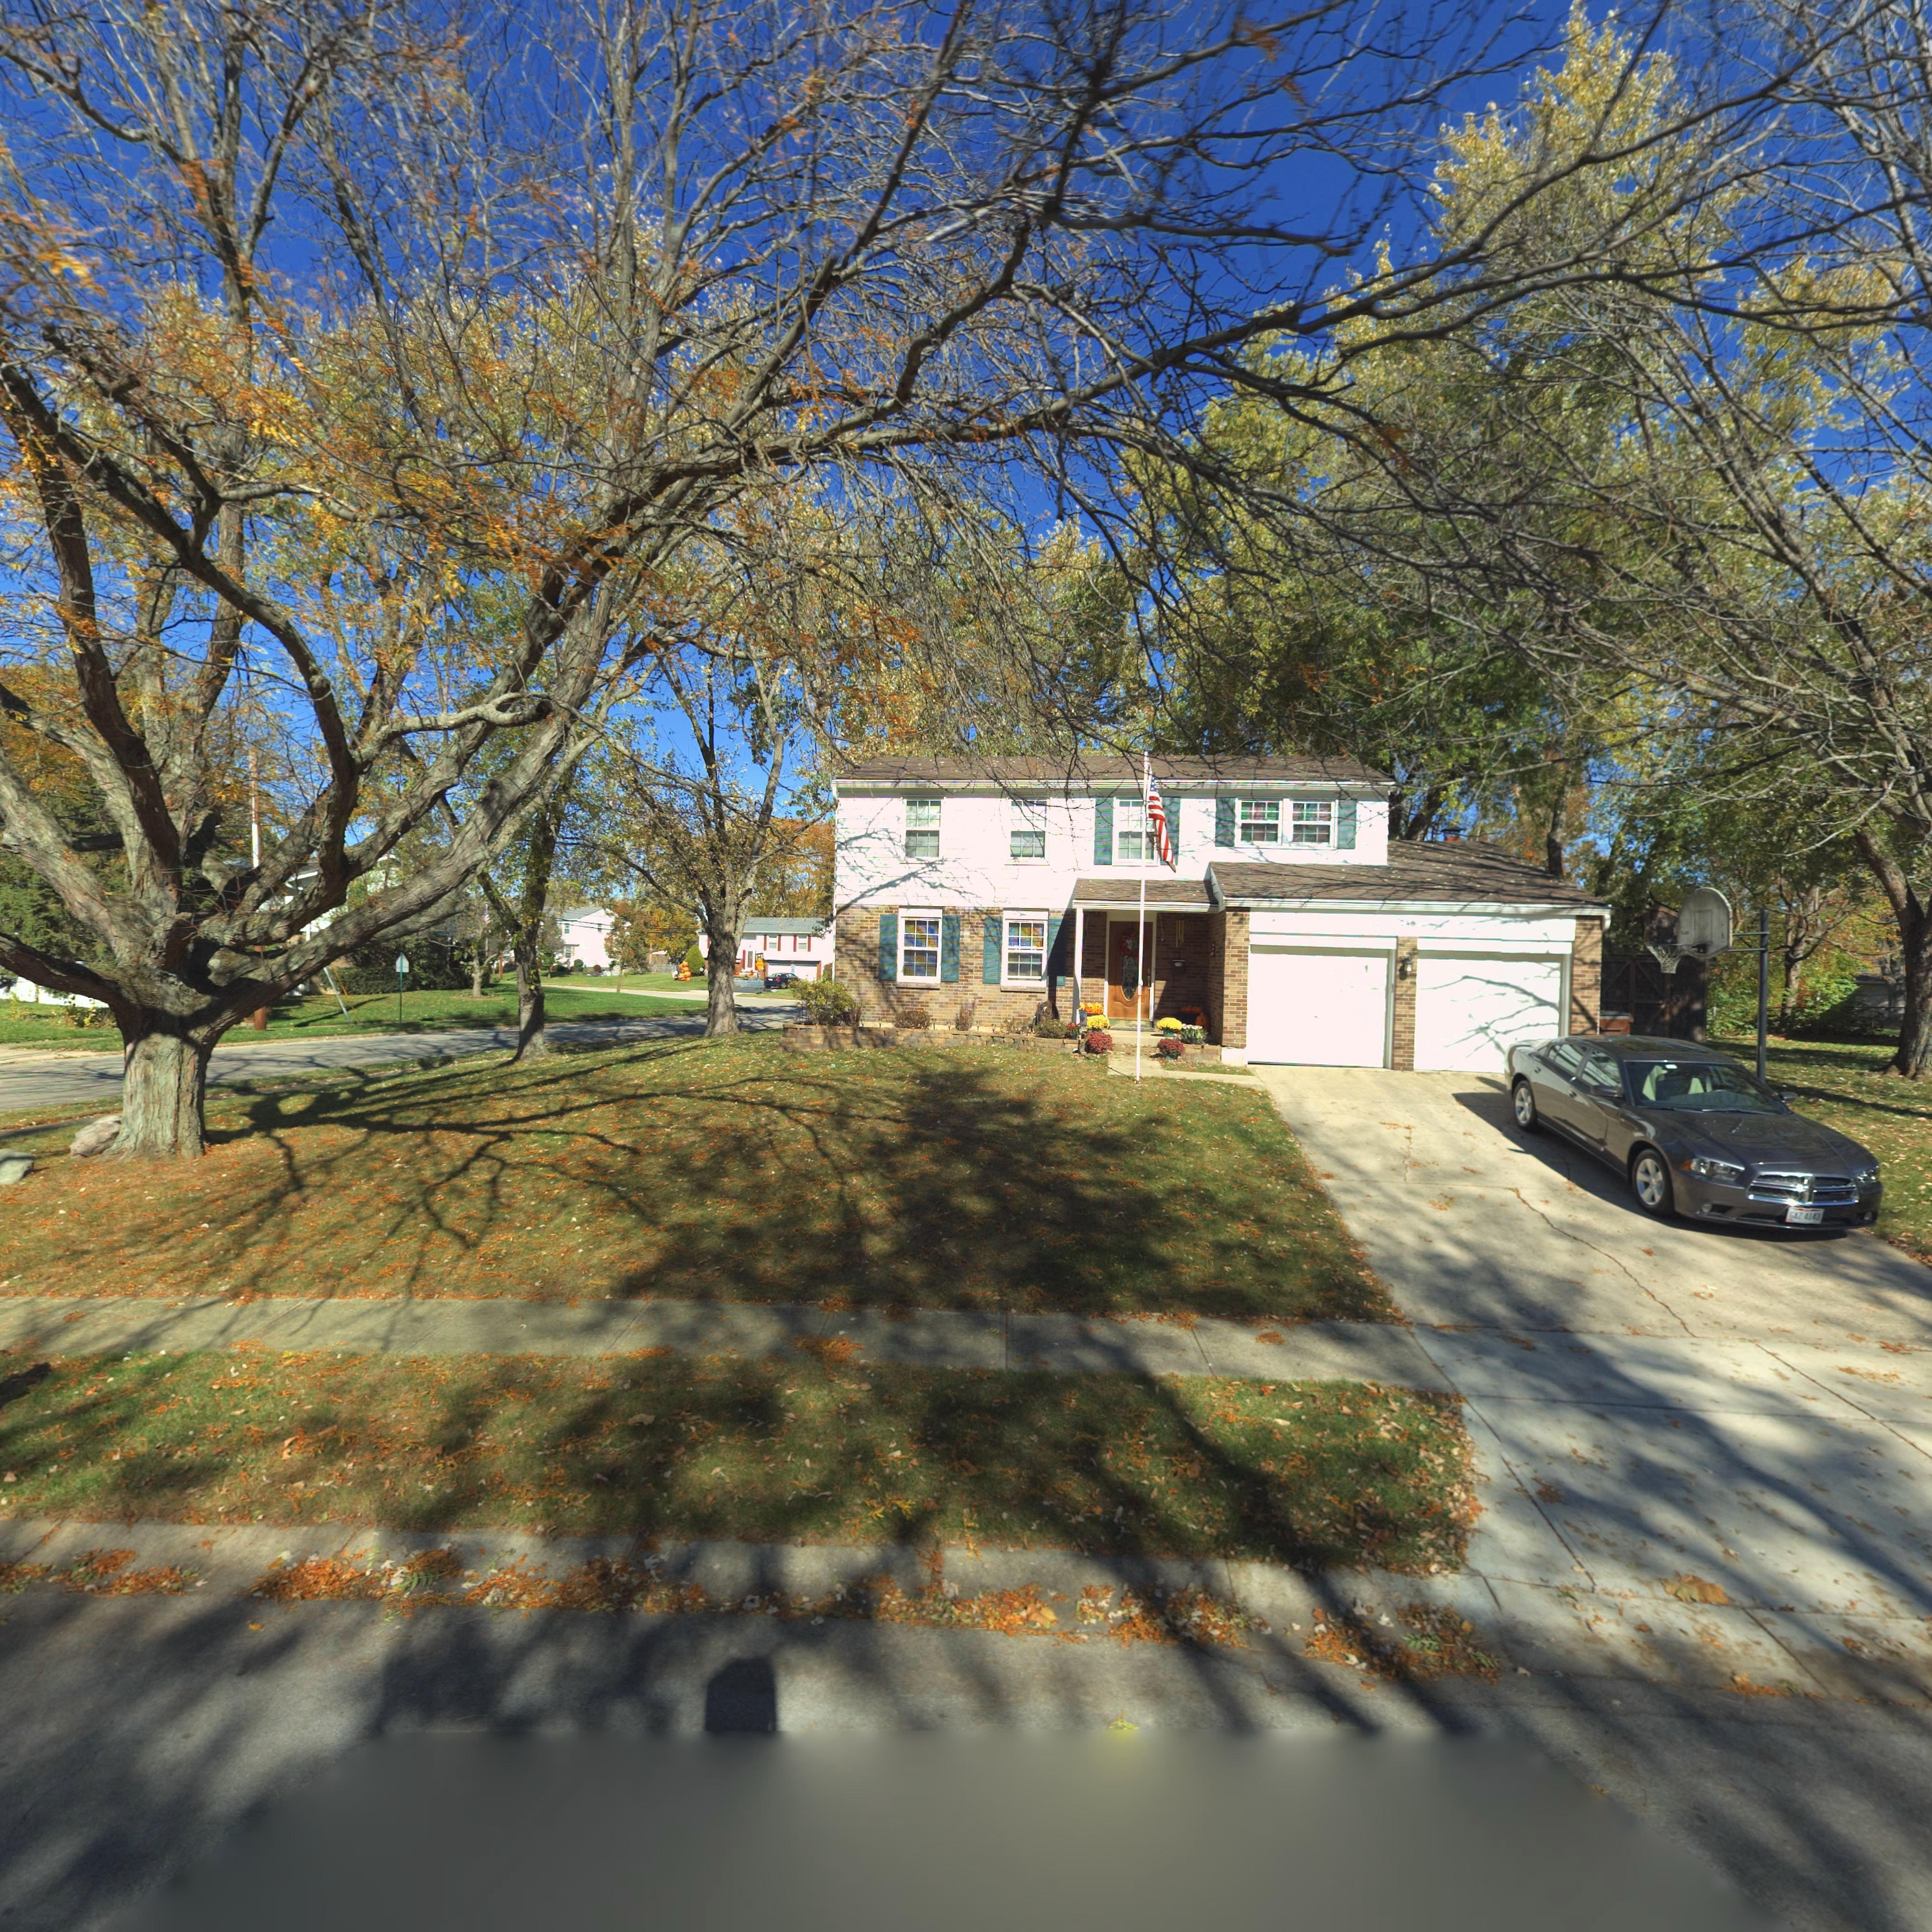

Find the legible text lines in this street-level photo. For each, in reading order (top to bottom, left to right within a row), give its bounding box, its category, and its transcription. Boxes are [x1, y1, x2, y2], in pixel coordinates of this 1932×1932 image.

[1399, 919, 1416, 927] StreetNumber: *48